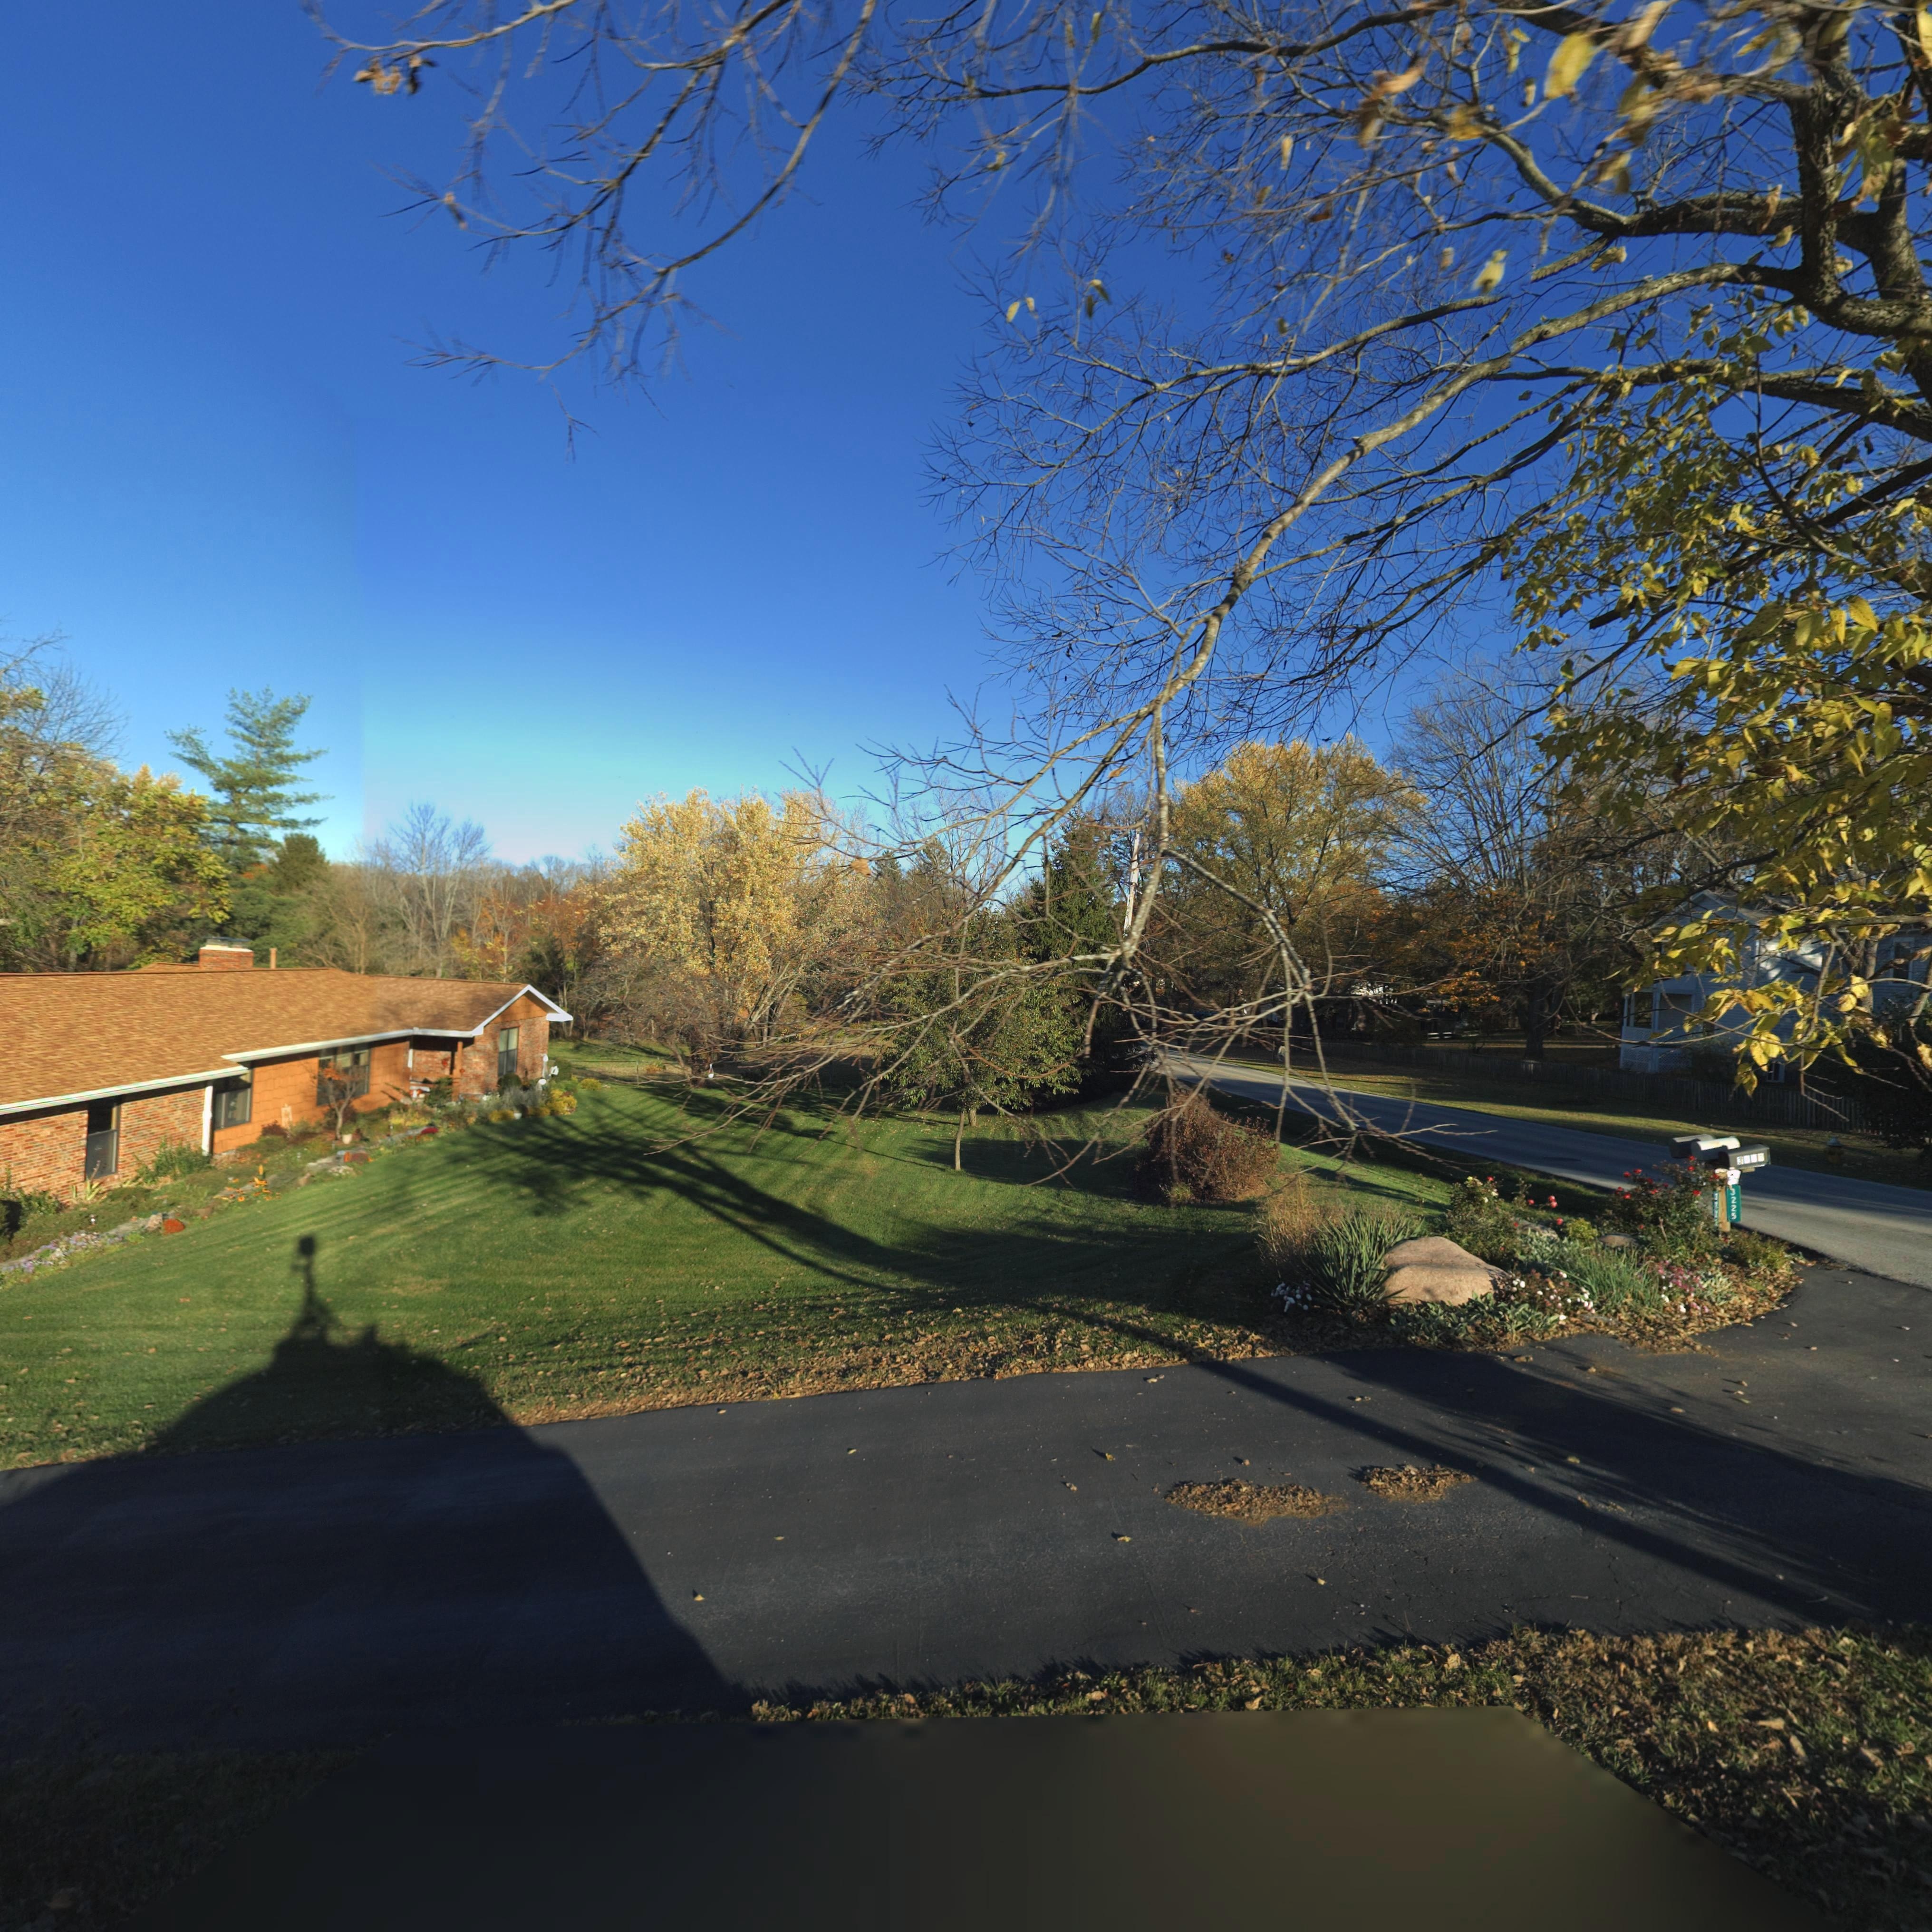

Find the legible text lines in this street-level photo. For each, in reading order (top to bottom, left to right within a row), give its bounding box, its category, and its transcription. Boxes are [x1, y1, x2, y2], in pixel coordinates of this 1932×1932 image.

[1737, 1152, 1765, 1166] StreetNumber: 3***
[1729, 1187, 1739, 1221] StreetNumber: *225